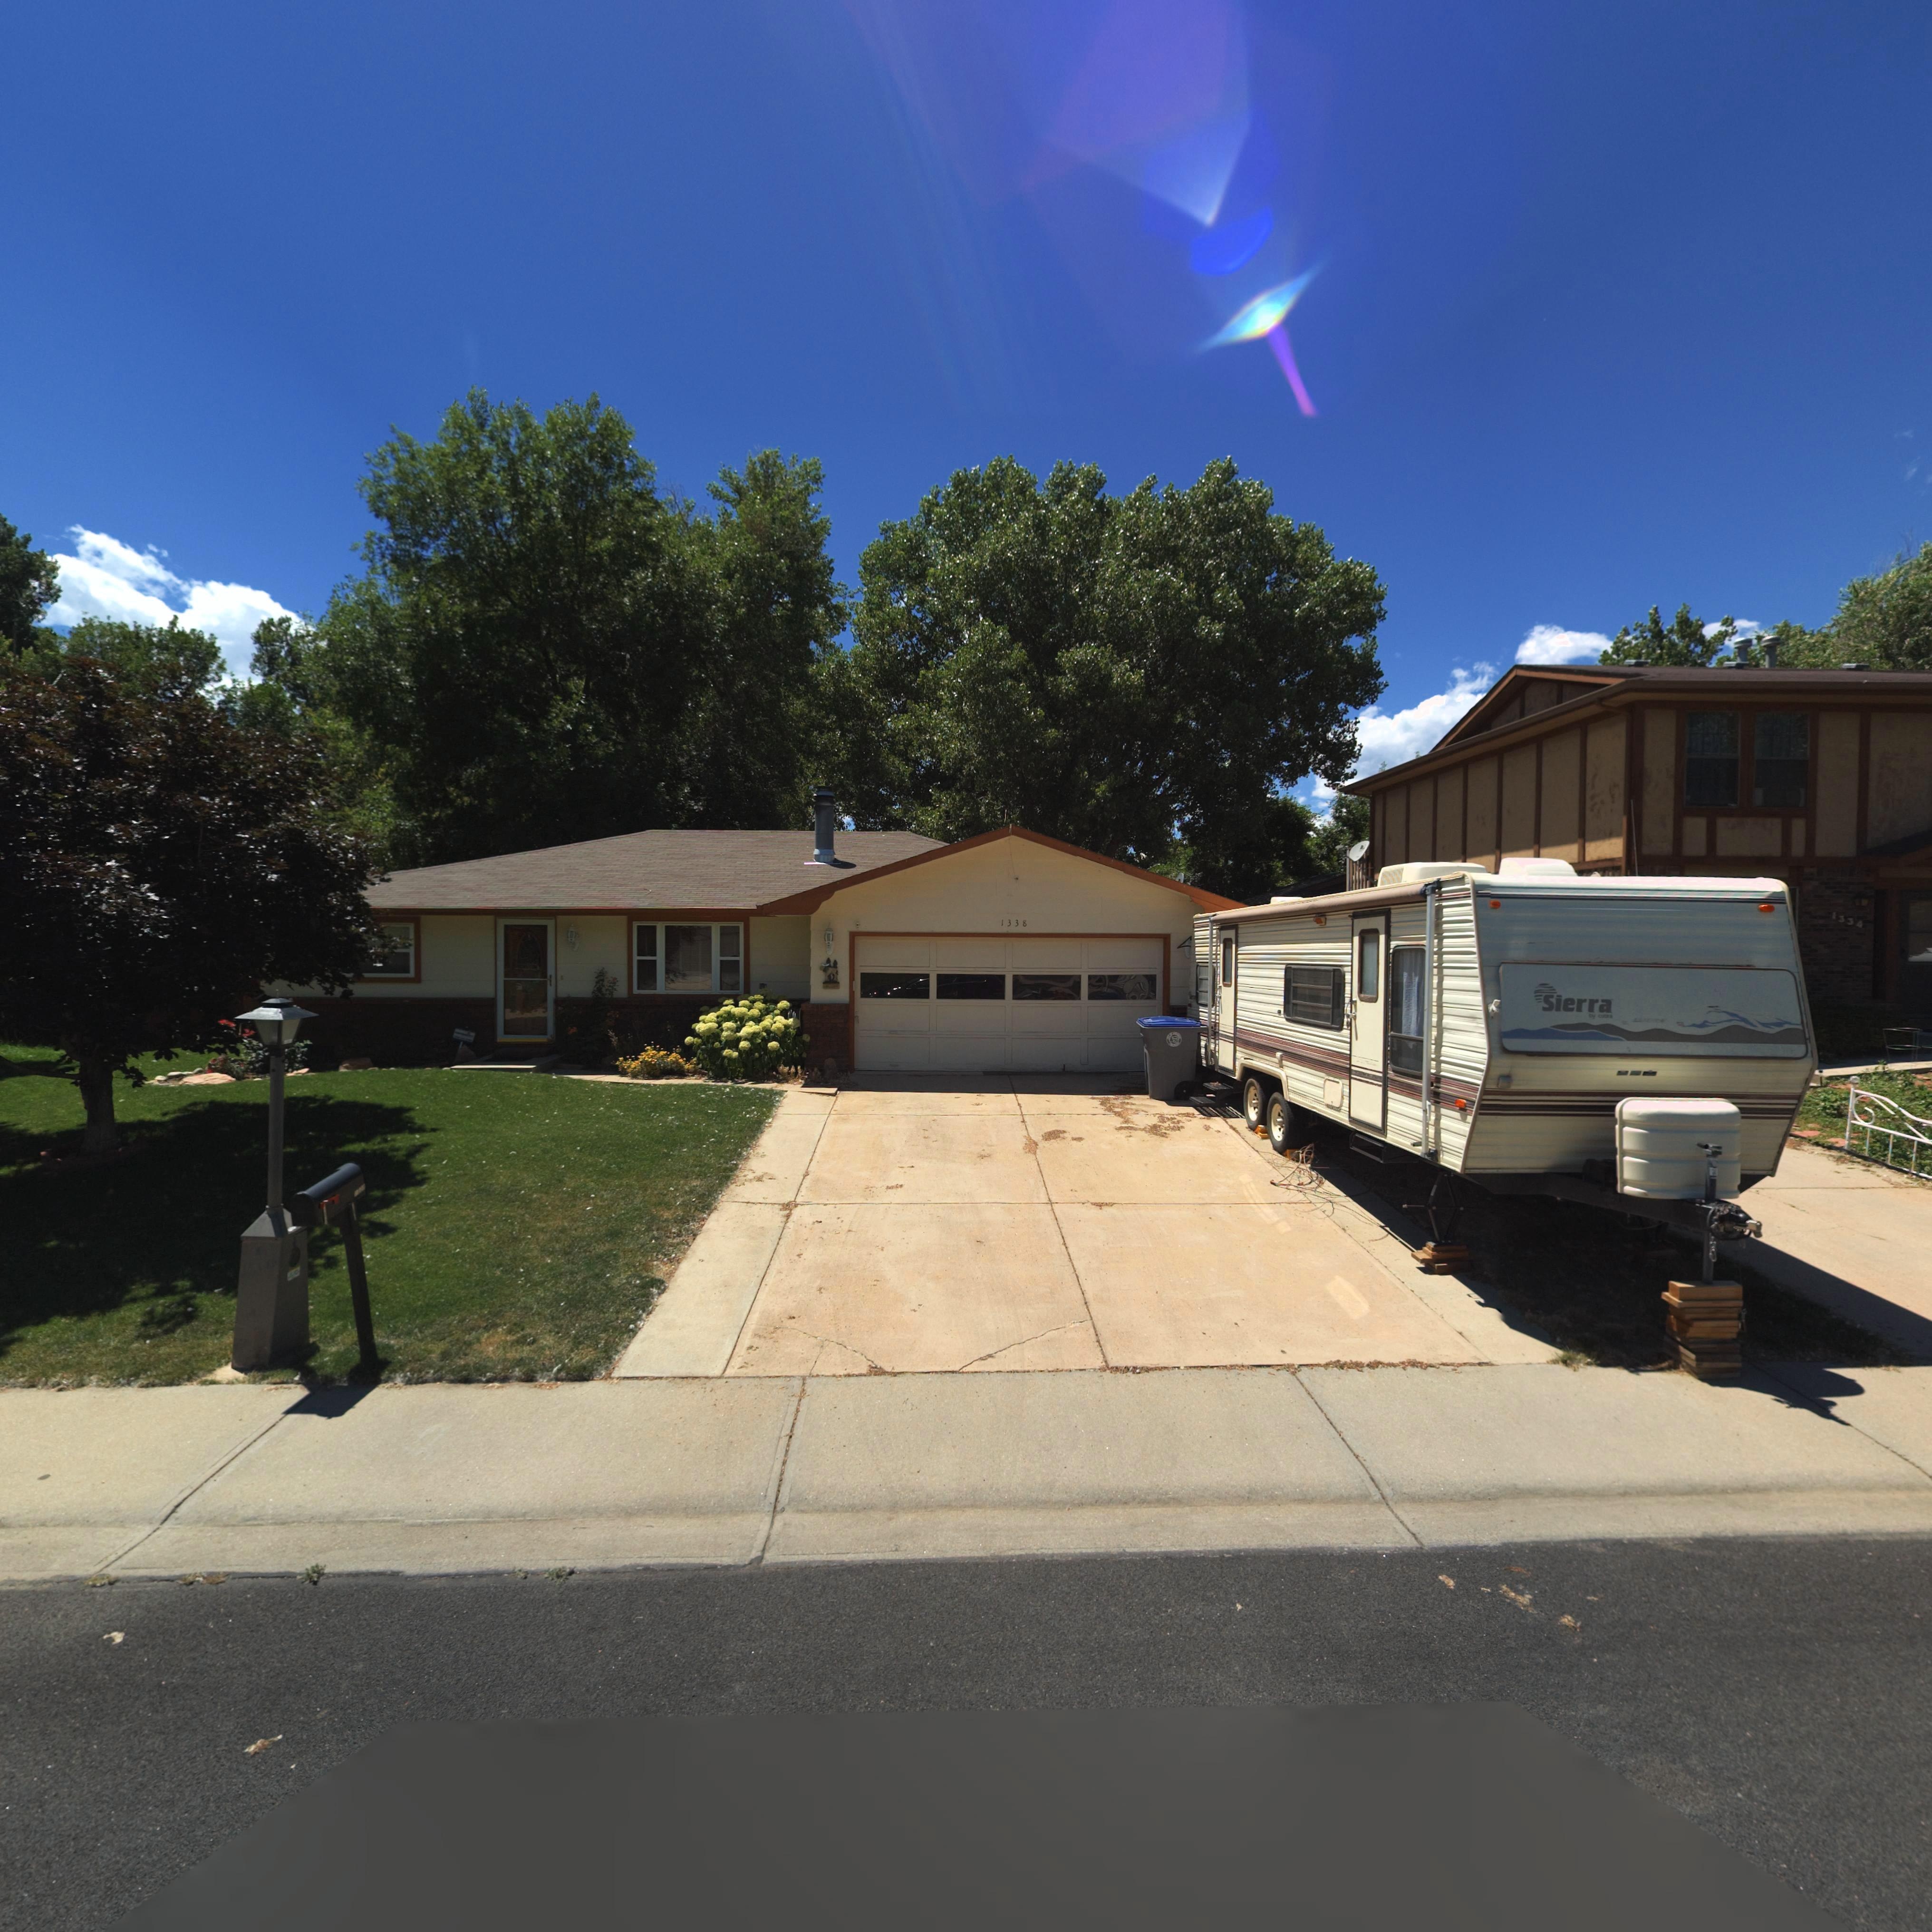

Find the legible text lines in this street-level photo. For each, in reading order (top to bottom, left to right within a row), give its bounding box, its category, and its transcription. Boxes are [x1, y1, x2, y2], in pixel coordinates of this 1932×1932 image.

[1000, 918, 1027, 927] StreetNumber: 1338
[1831, 911, 1863, 929] StreetNumber: 1334